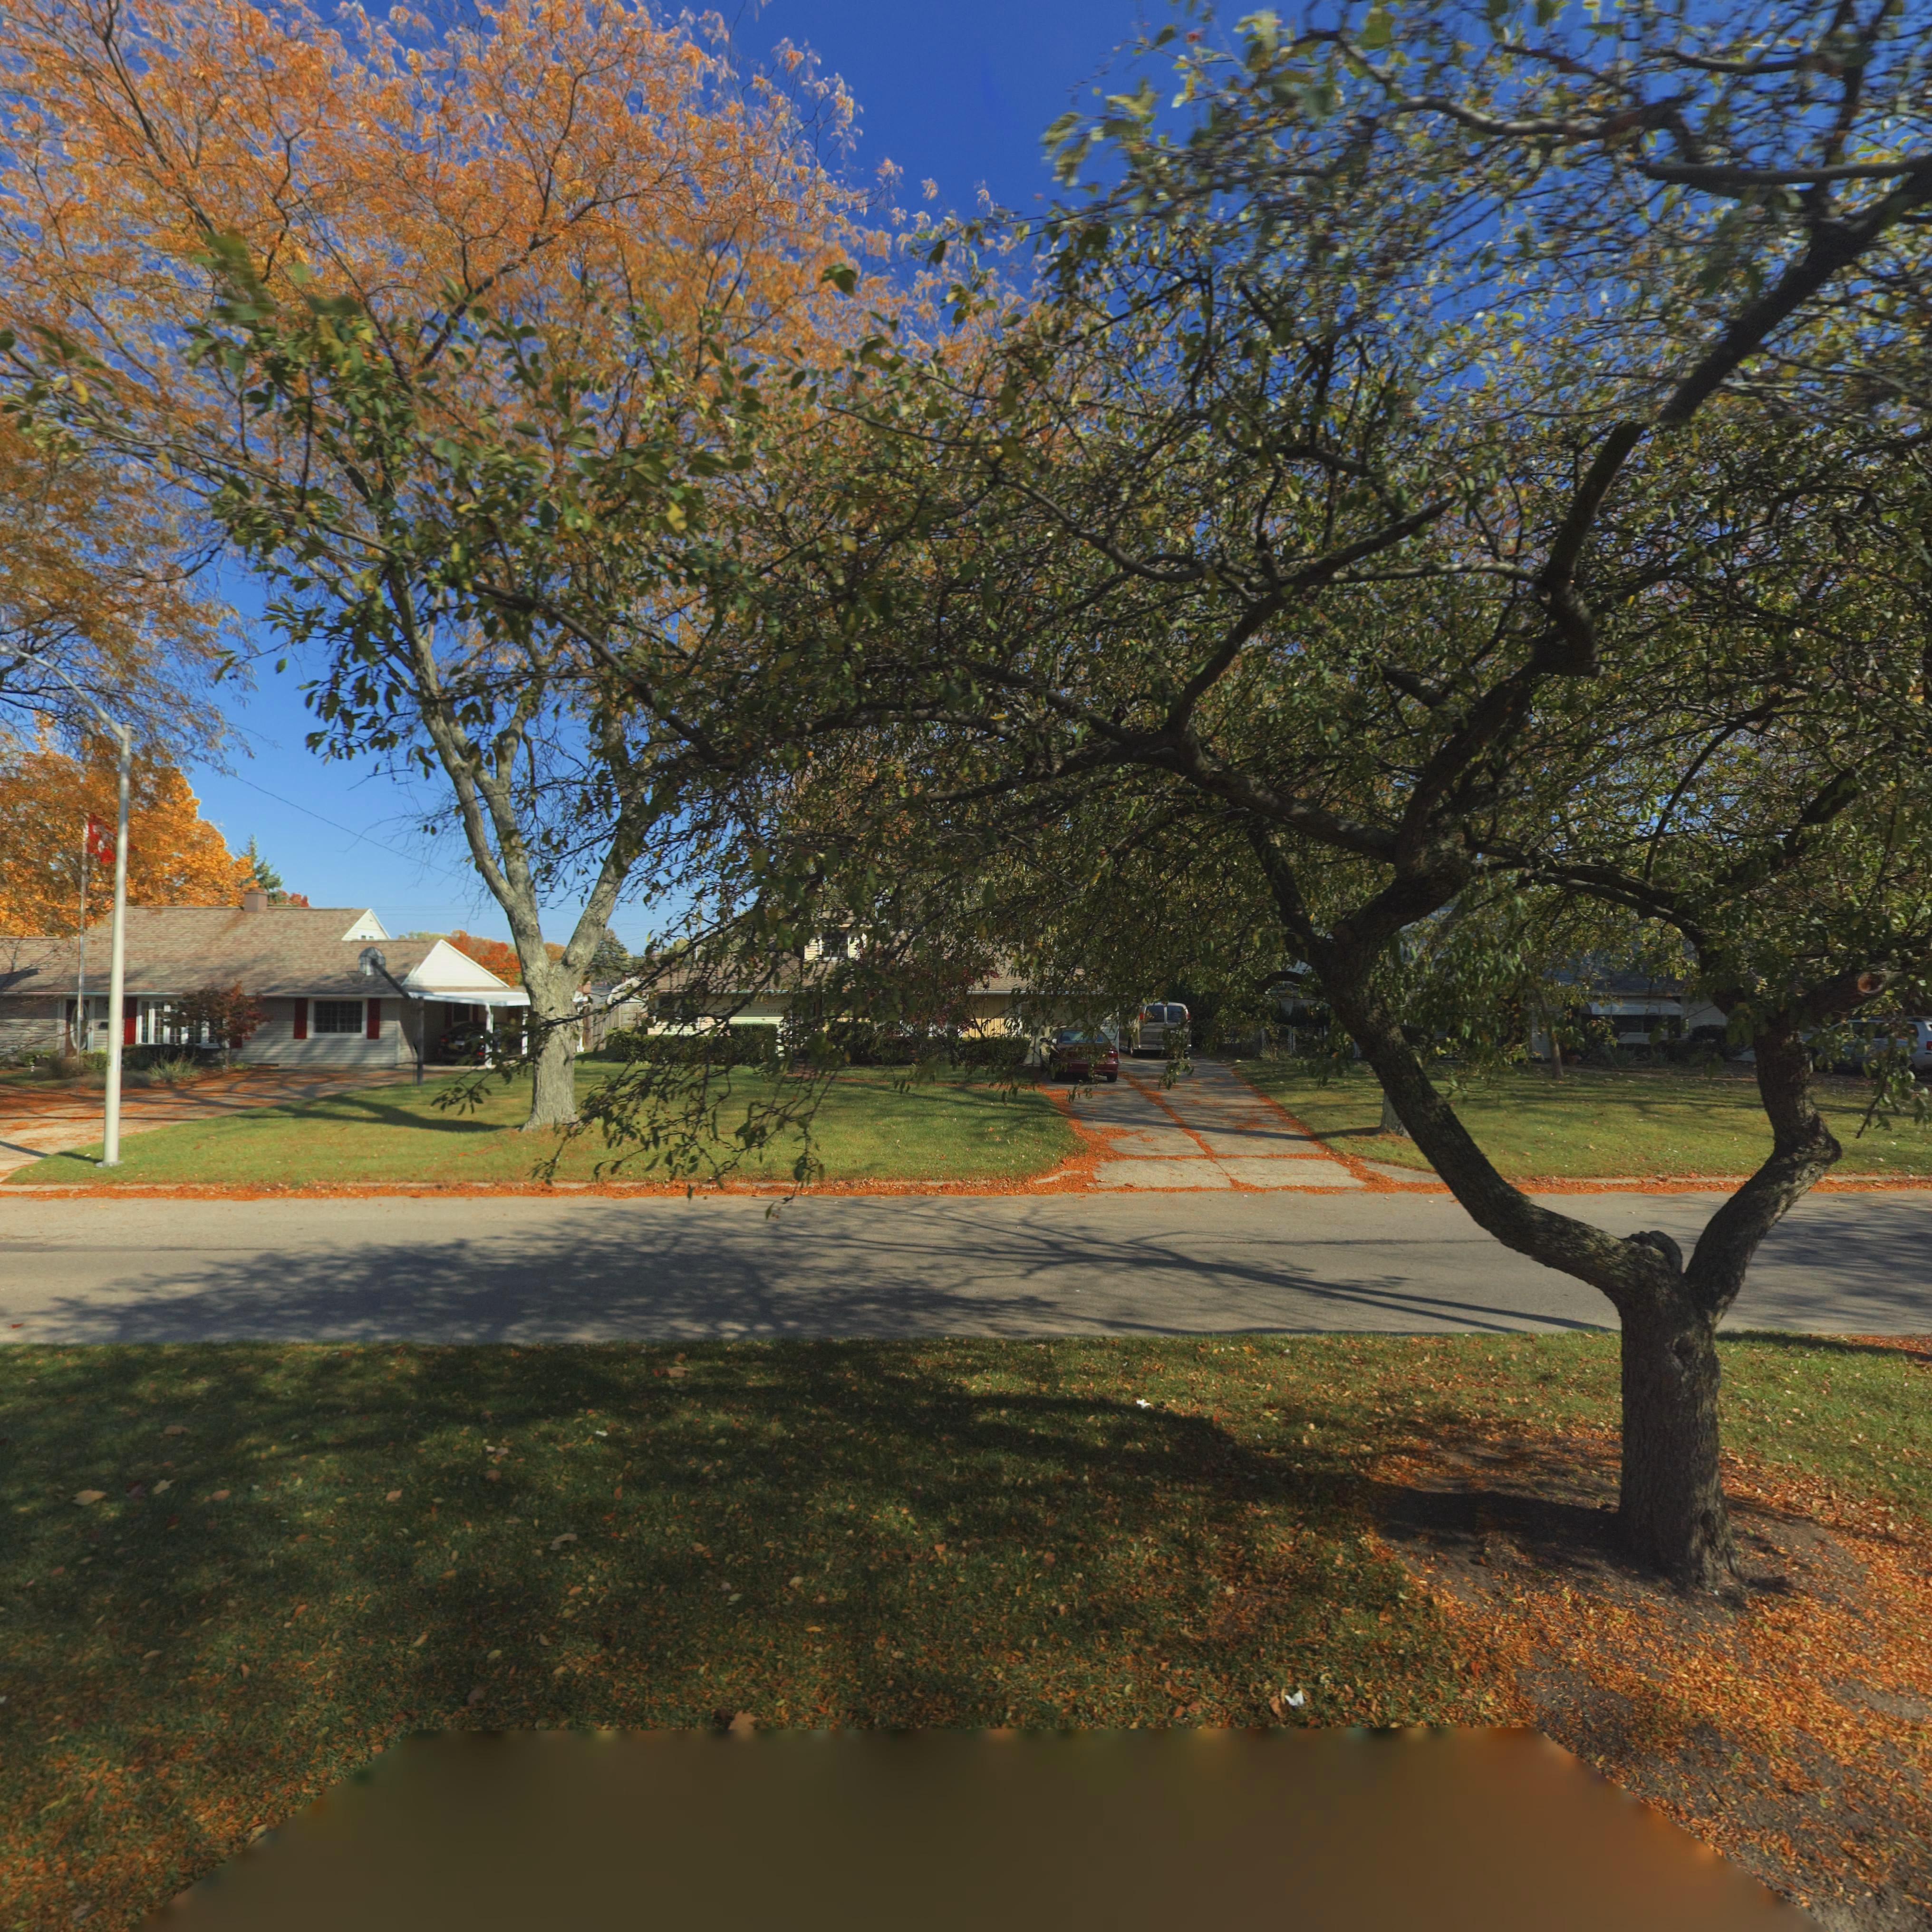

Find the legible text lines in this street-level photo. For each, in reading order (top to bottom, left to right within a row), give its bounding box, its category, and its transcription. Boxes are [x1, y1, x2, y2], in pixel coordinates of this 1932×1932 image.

[767, 1009, 780, 1013] StreetNumber: 3736\